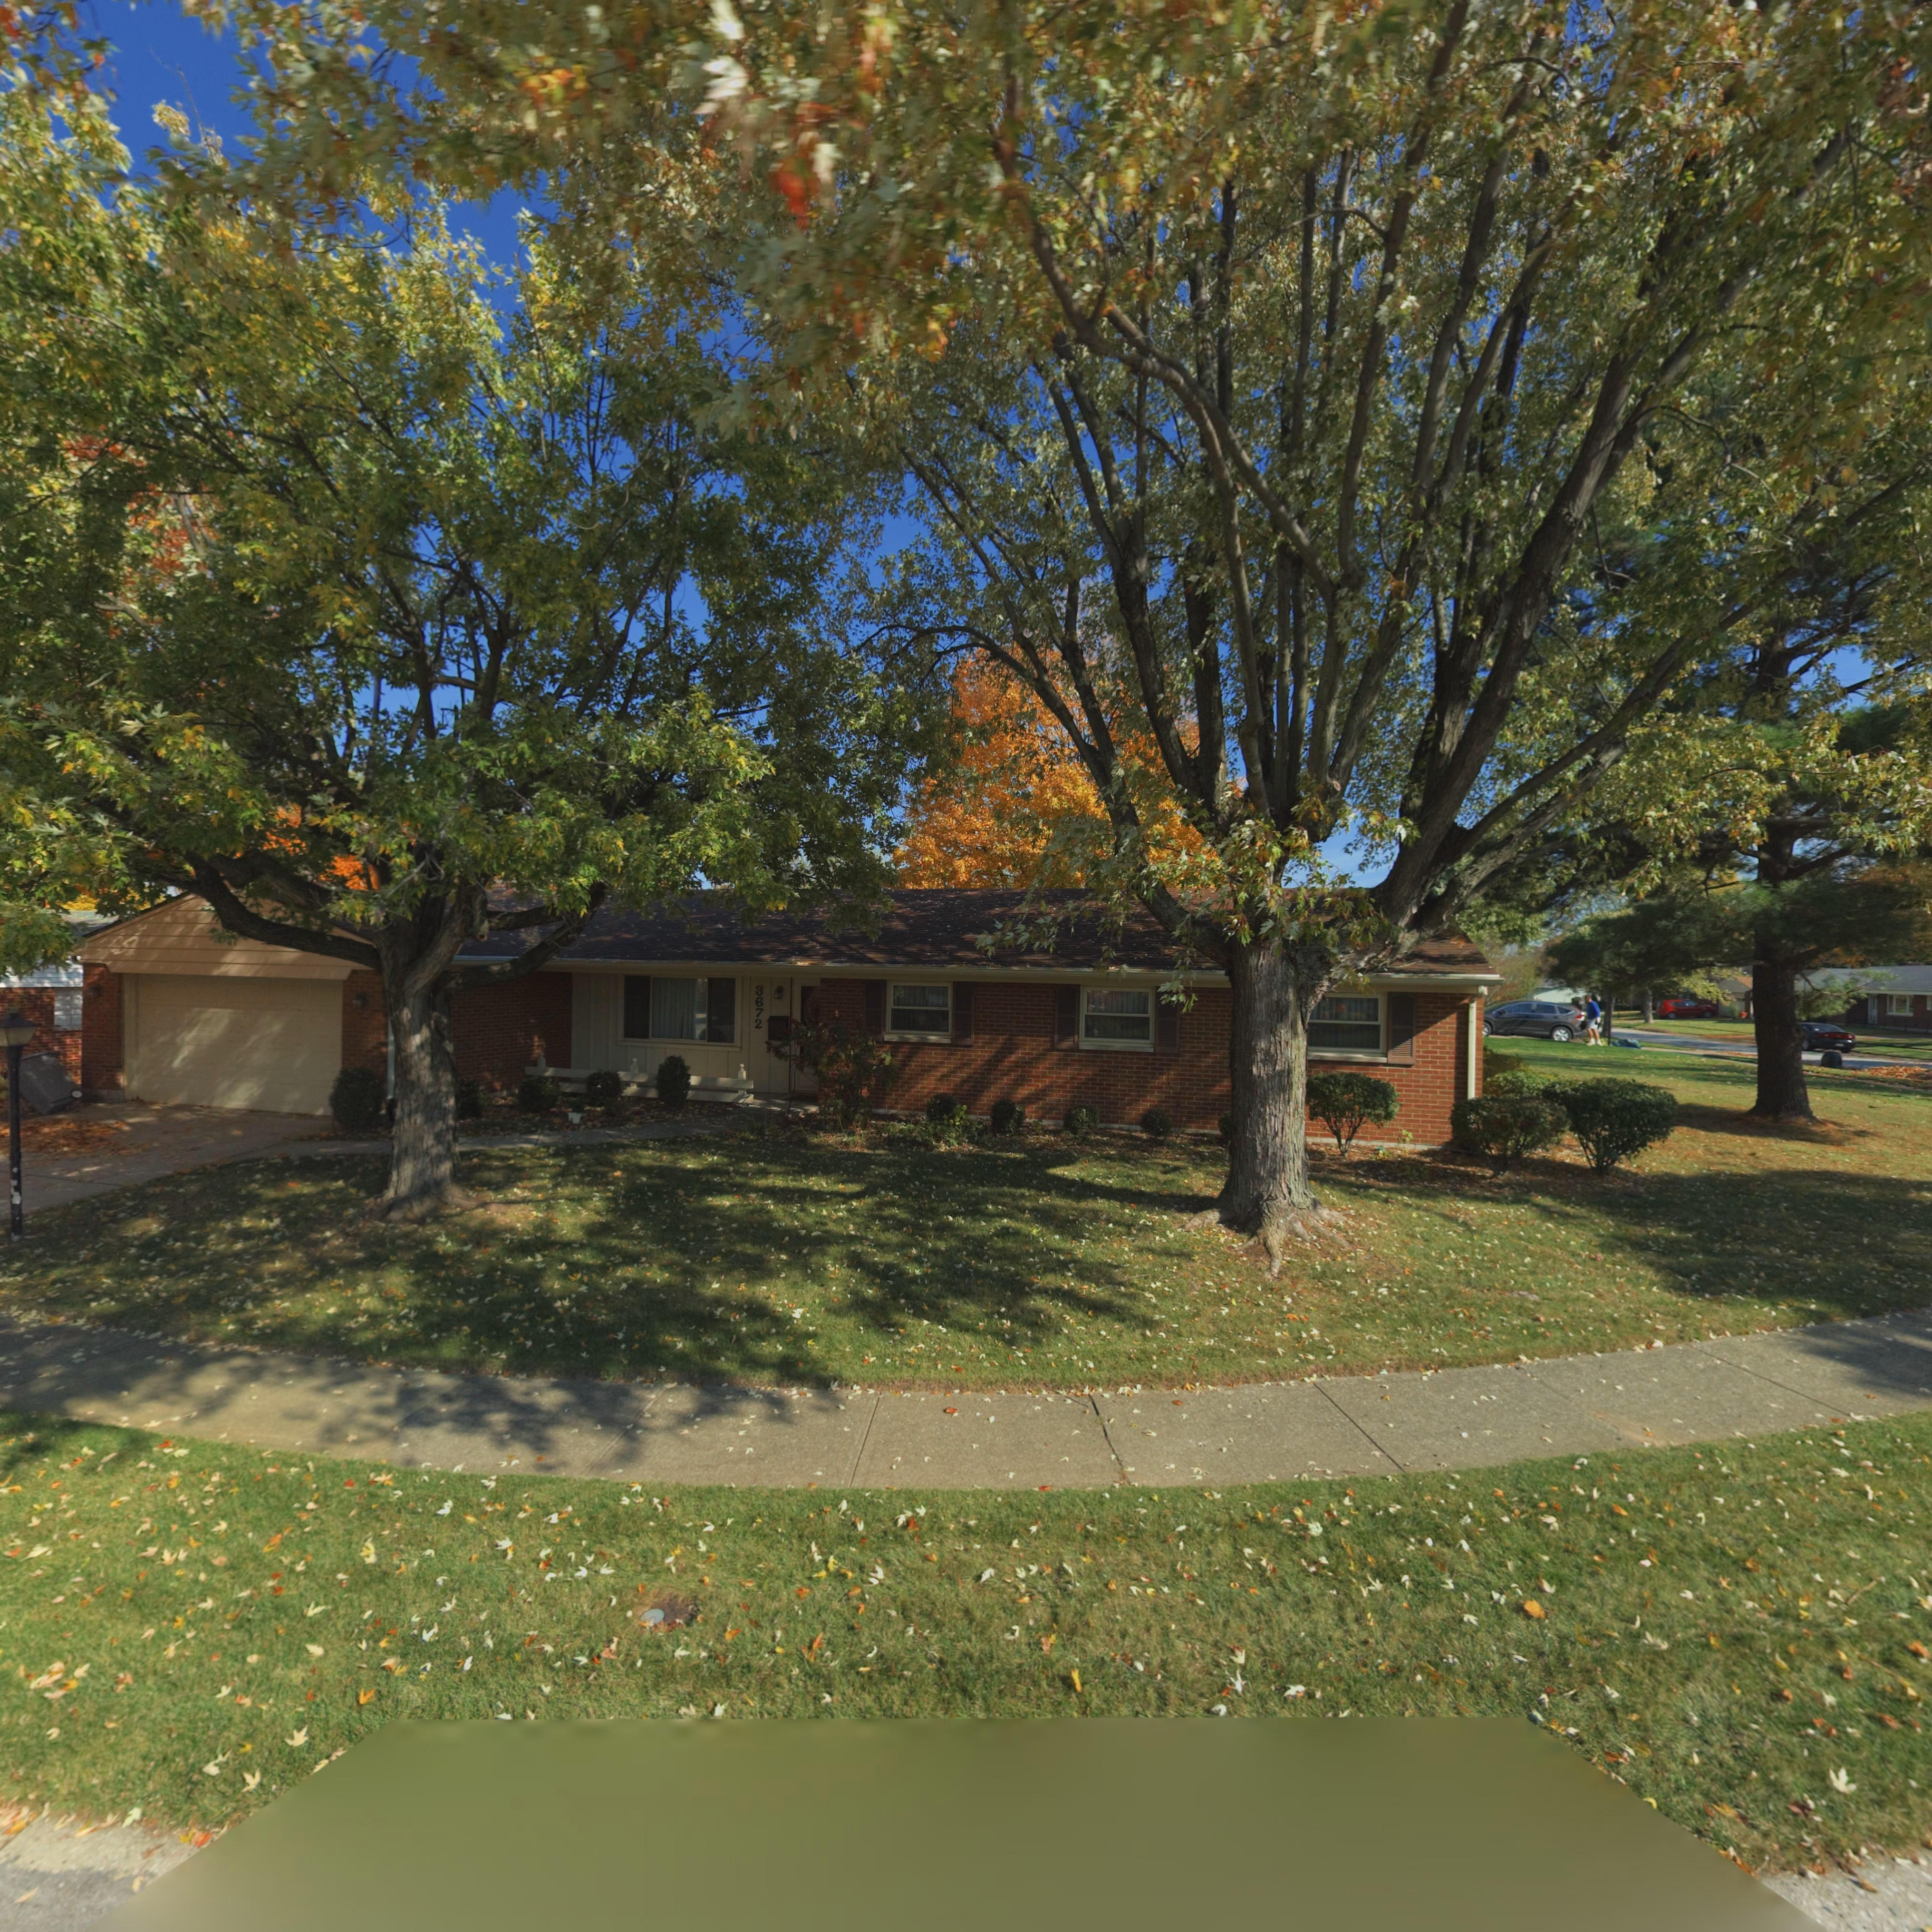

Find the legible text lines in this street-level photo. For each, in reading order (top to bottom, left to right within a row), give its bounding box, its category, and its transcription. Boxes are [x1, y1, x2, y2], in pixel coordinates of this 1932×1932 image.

[753, 985, 764, 1030] StreetNumber: 3672